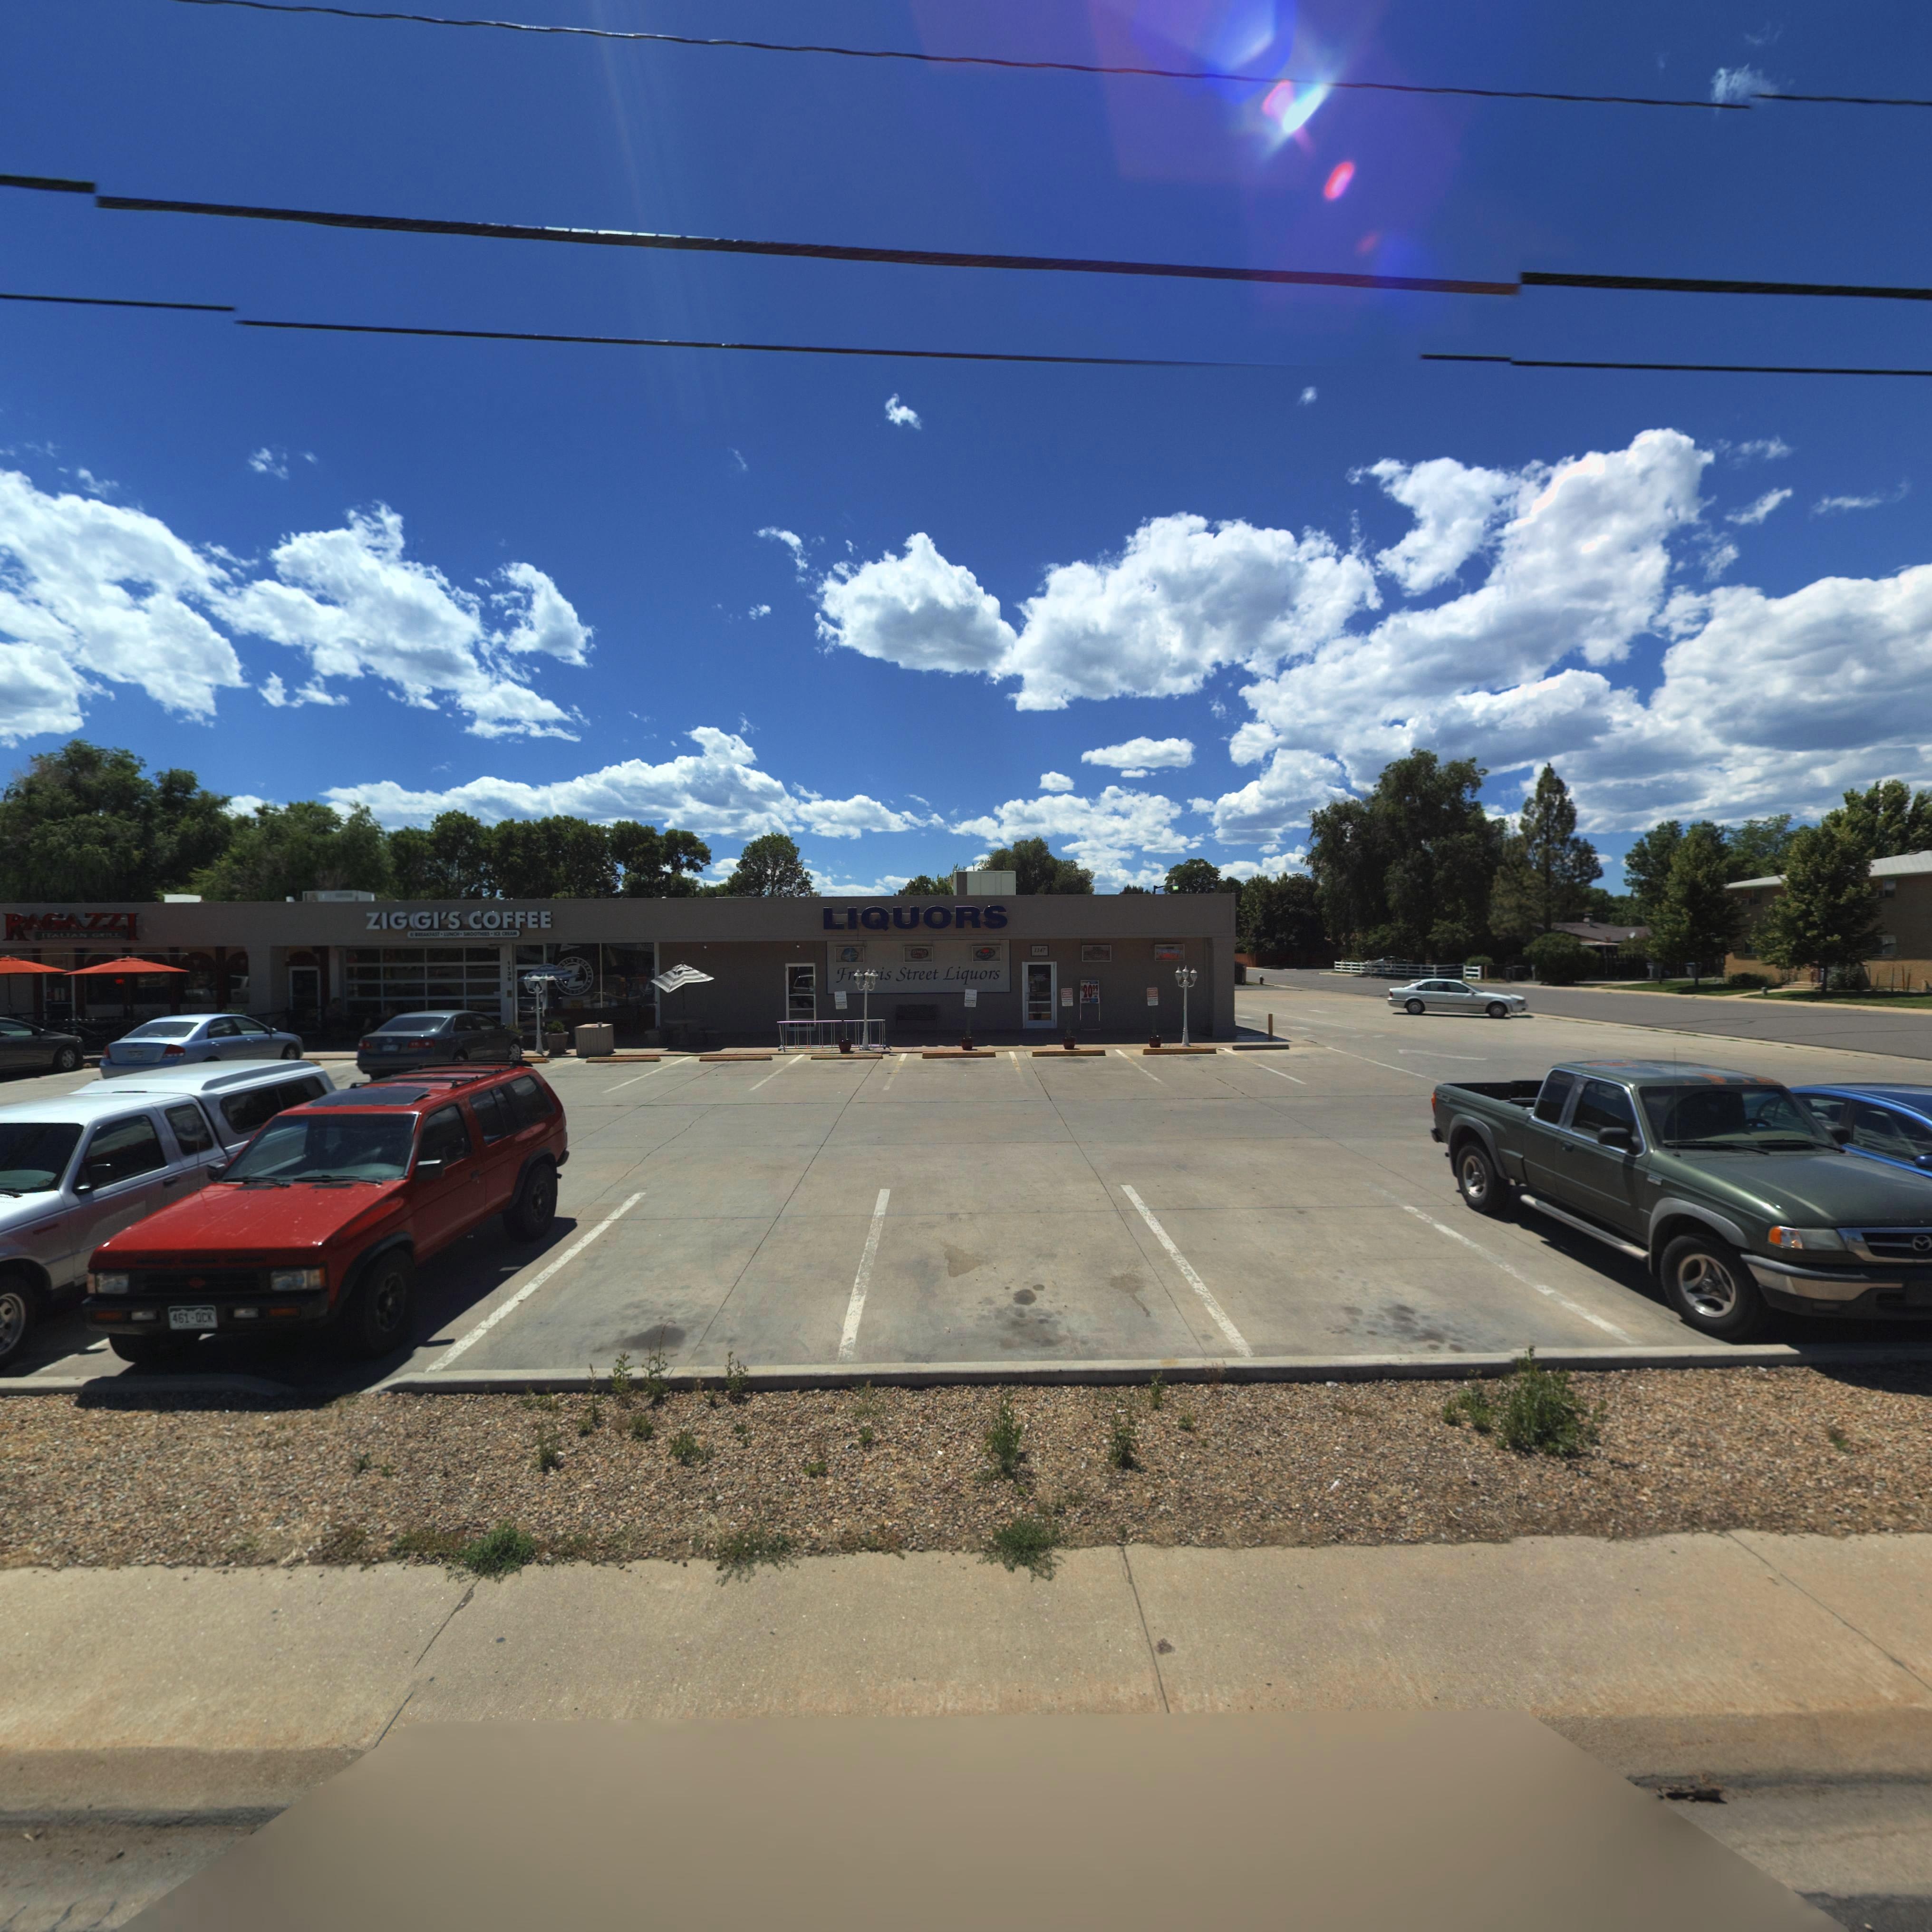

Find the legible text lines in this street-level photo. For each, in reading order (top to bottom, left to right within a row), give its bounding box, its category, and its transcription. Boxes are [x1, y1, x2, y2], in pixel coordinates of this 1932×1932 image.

[2, 912, 141, 942] BusinessName: RAGAZZI
[41, 933, 122, 938] BusinessName: ITALIAN GRILL
[365, 910, 552, 929] BusinessName: ZIG*GI'S COFFEE
[1034, 947, 1046, 953] StreetNumber: 1147
[507, 960, 512, 982] StreetNumber: 1139
[558, 958, 592, 977] BusinessName: GGI'S COFFEE
[835, 966, 1001, 985] BusinessName: Fr***is Street Liquors